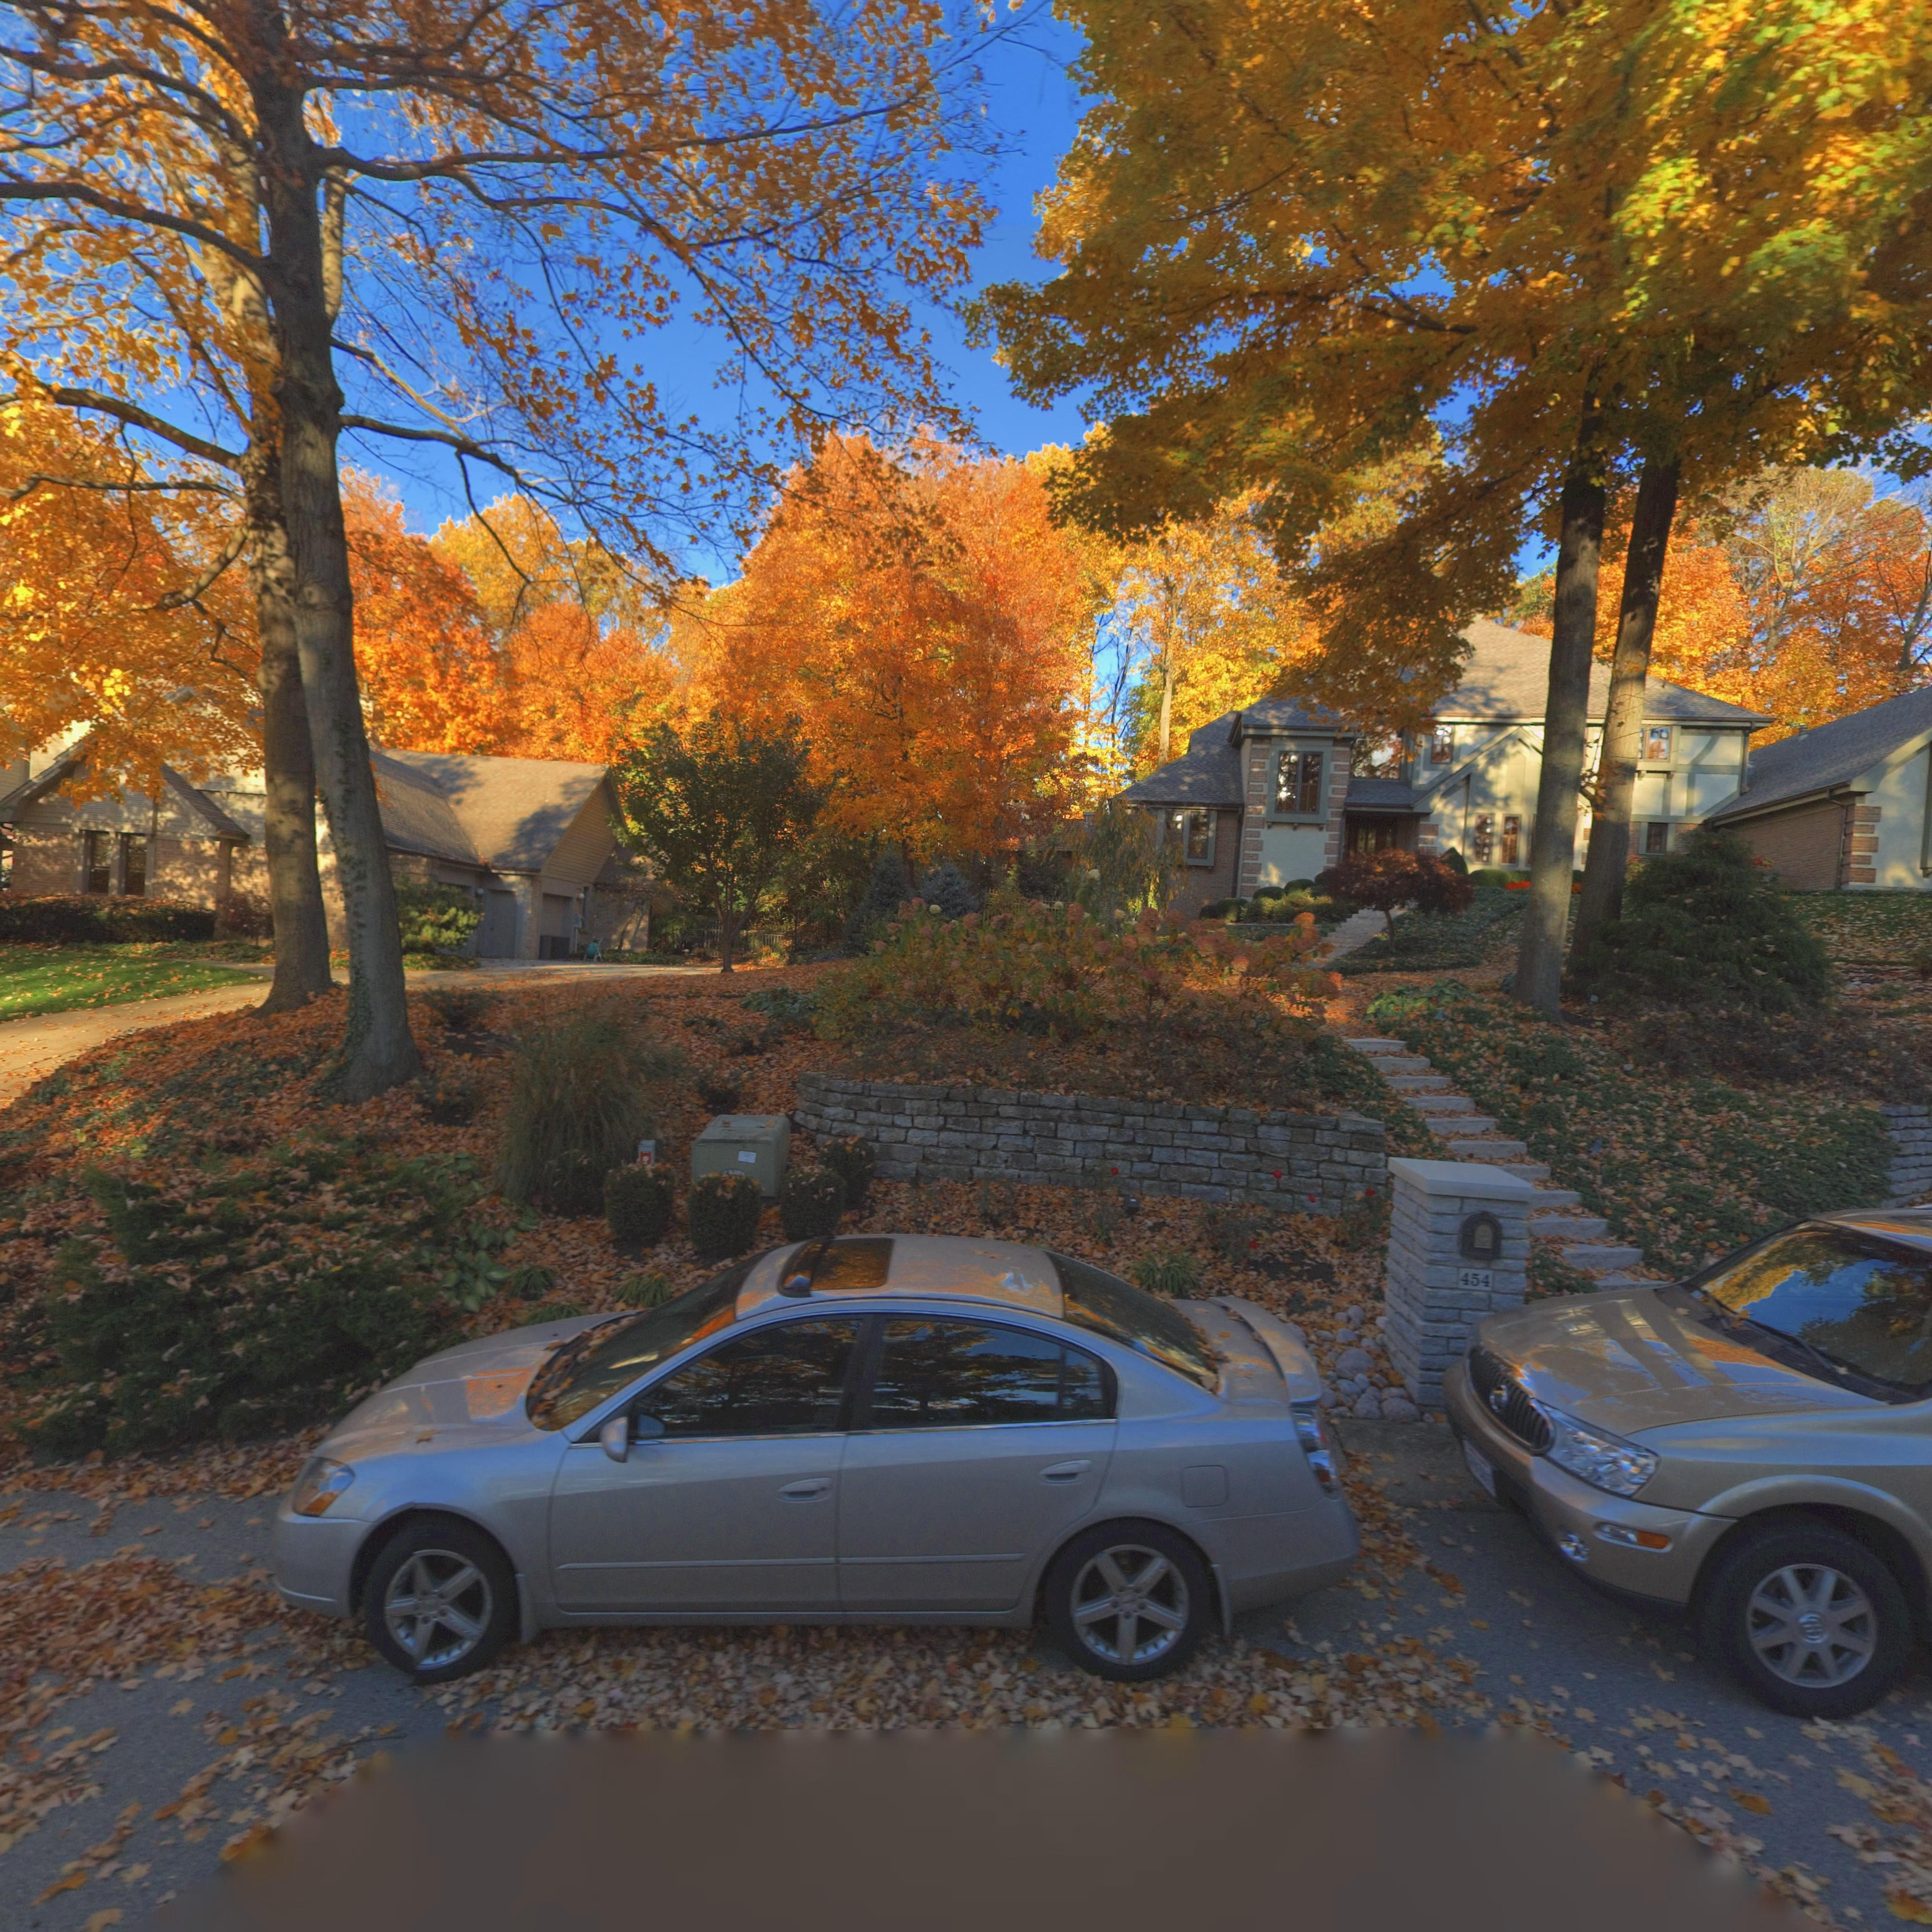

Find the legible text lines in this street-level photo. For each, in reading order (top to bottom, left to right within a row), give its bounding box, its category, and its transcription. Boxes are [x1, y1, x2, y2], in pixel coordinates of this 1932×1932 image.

[1459, 1271, 1492, 1288] StreetNumber: 454